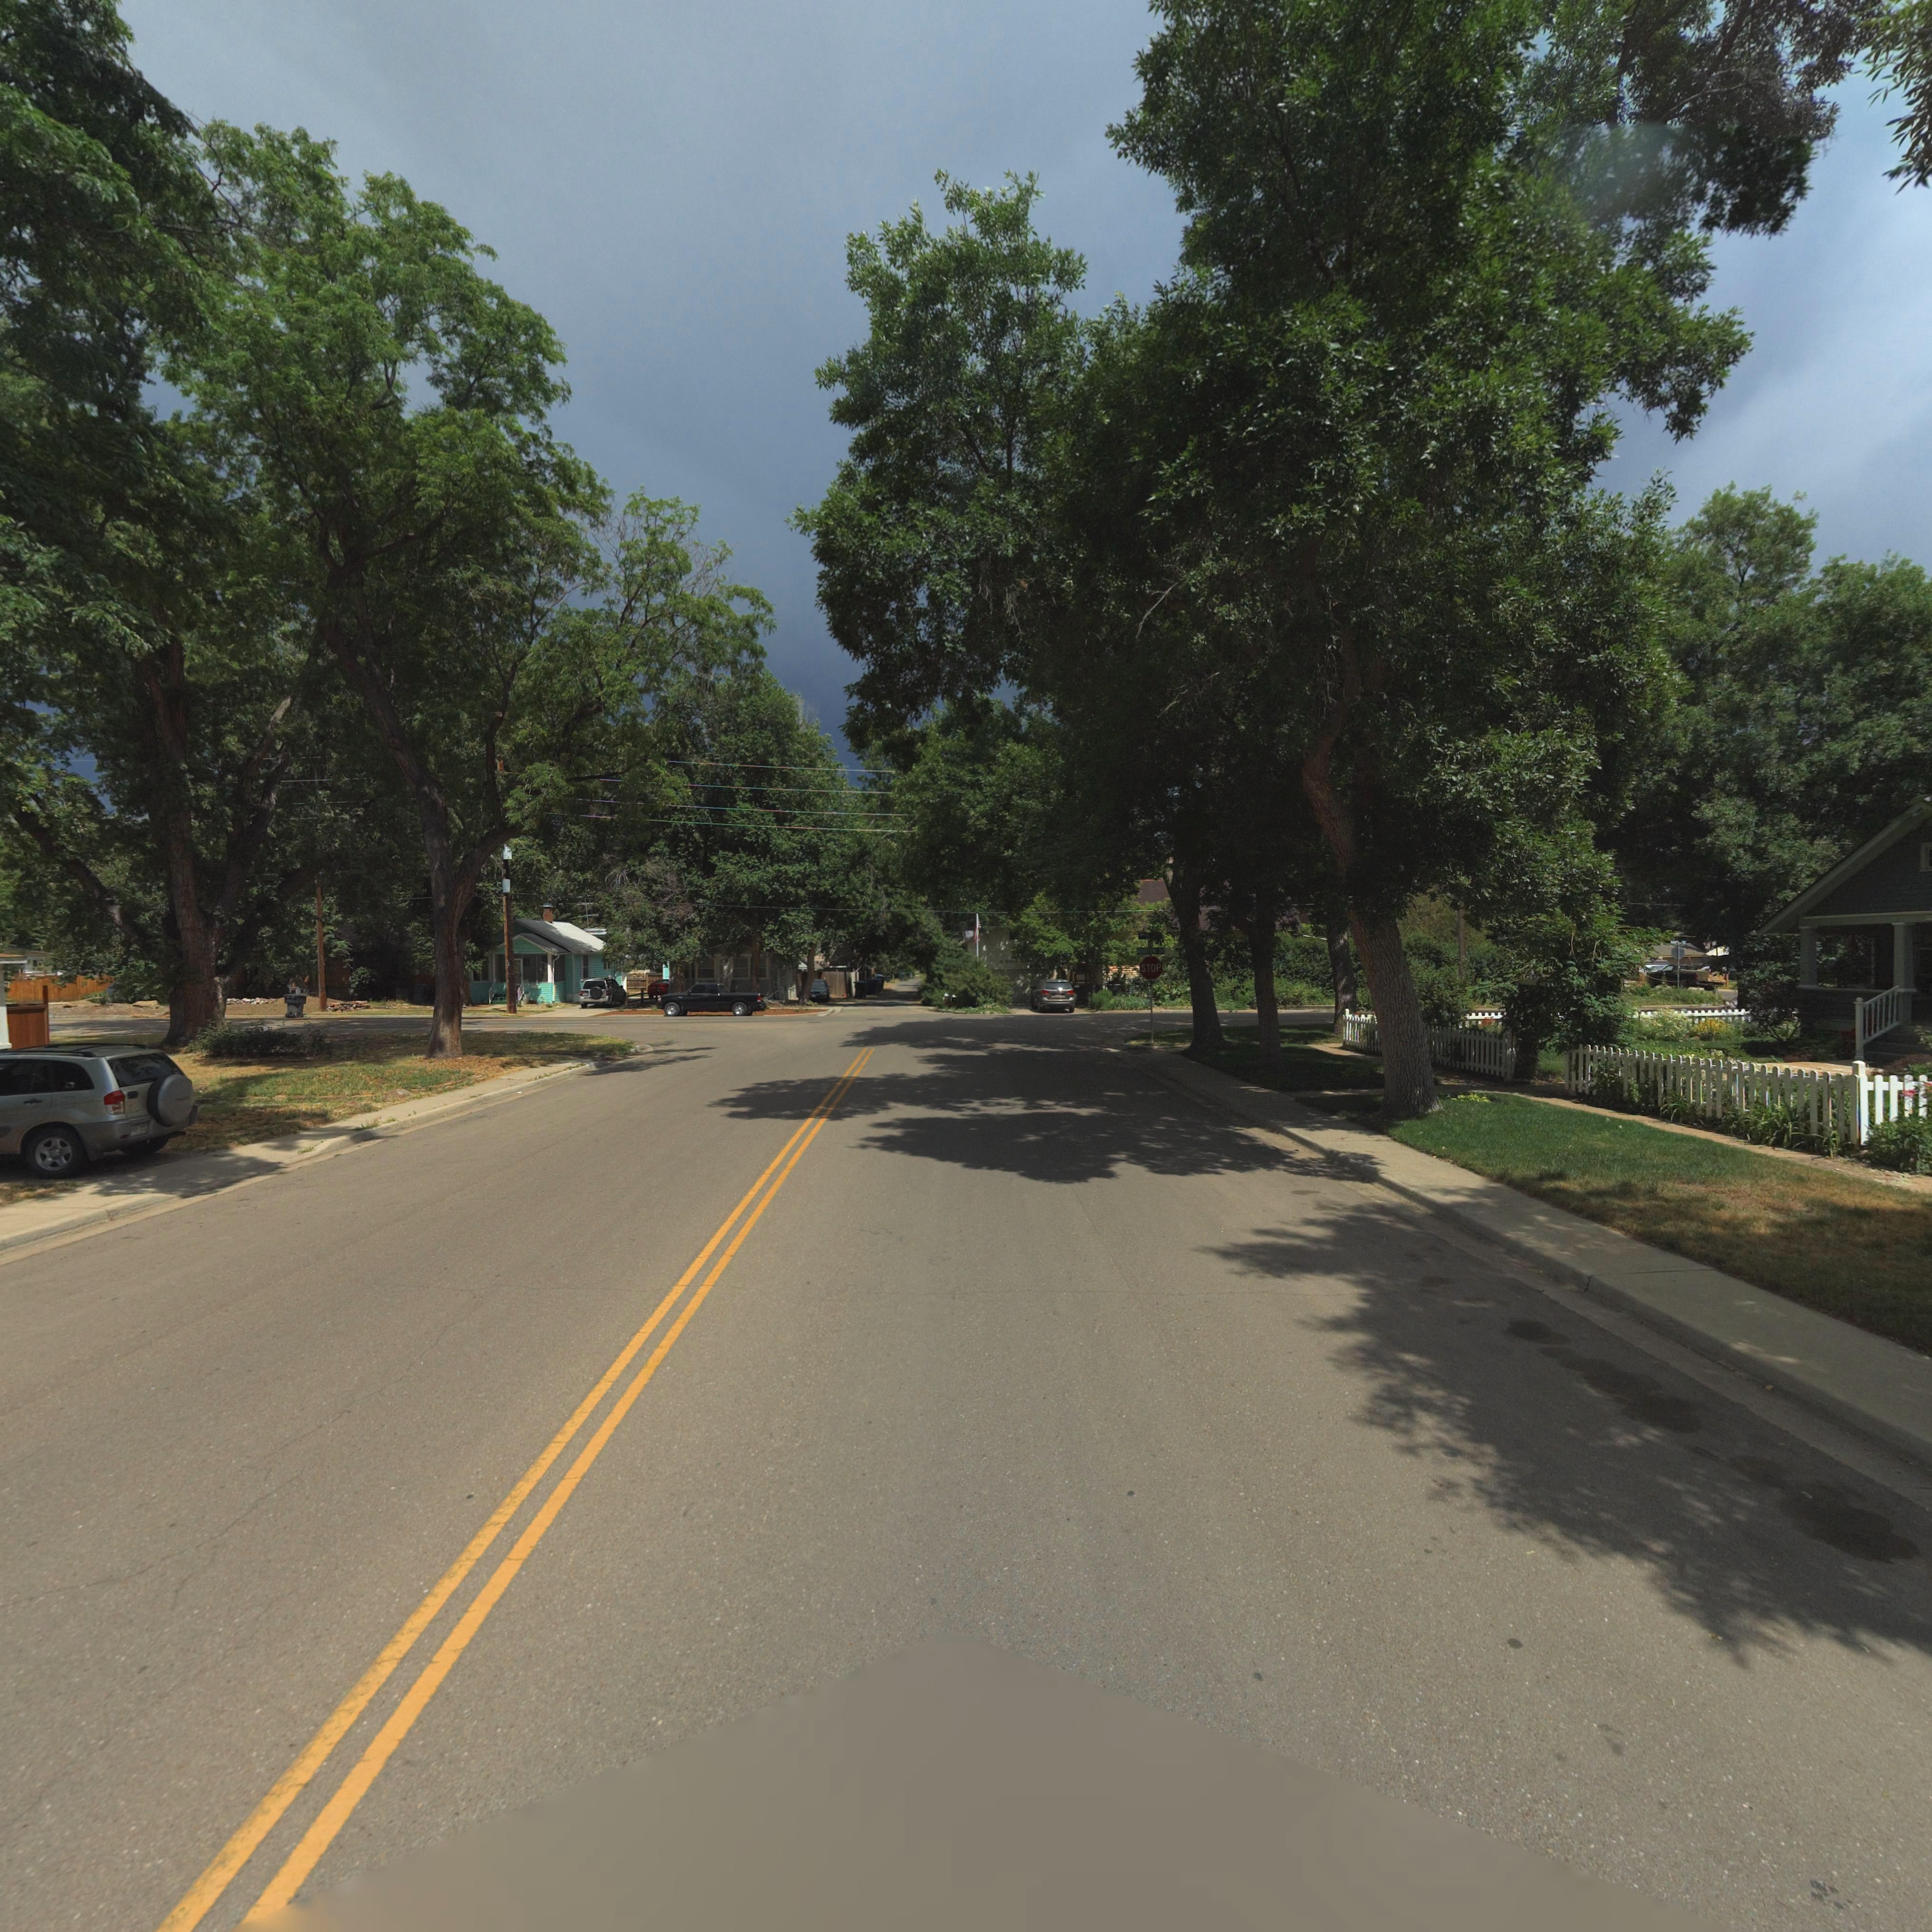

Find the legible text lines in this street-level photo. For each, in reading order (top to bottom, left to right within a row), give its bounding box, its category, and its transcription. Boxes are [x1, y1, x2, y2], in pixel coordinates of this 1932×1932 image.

[1137, 948, 1164, 953] StreetName: MARTIN ST
[1000, 960, 1002, 963] StreetNumber: 4
[1005, 959, 1026, 962] StreetName: EAST 5*